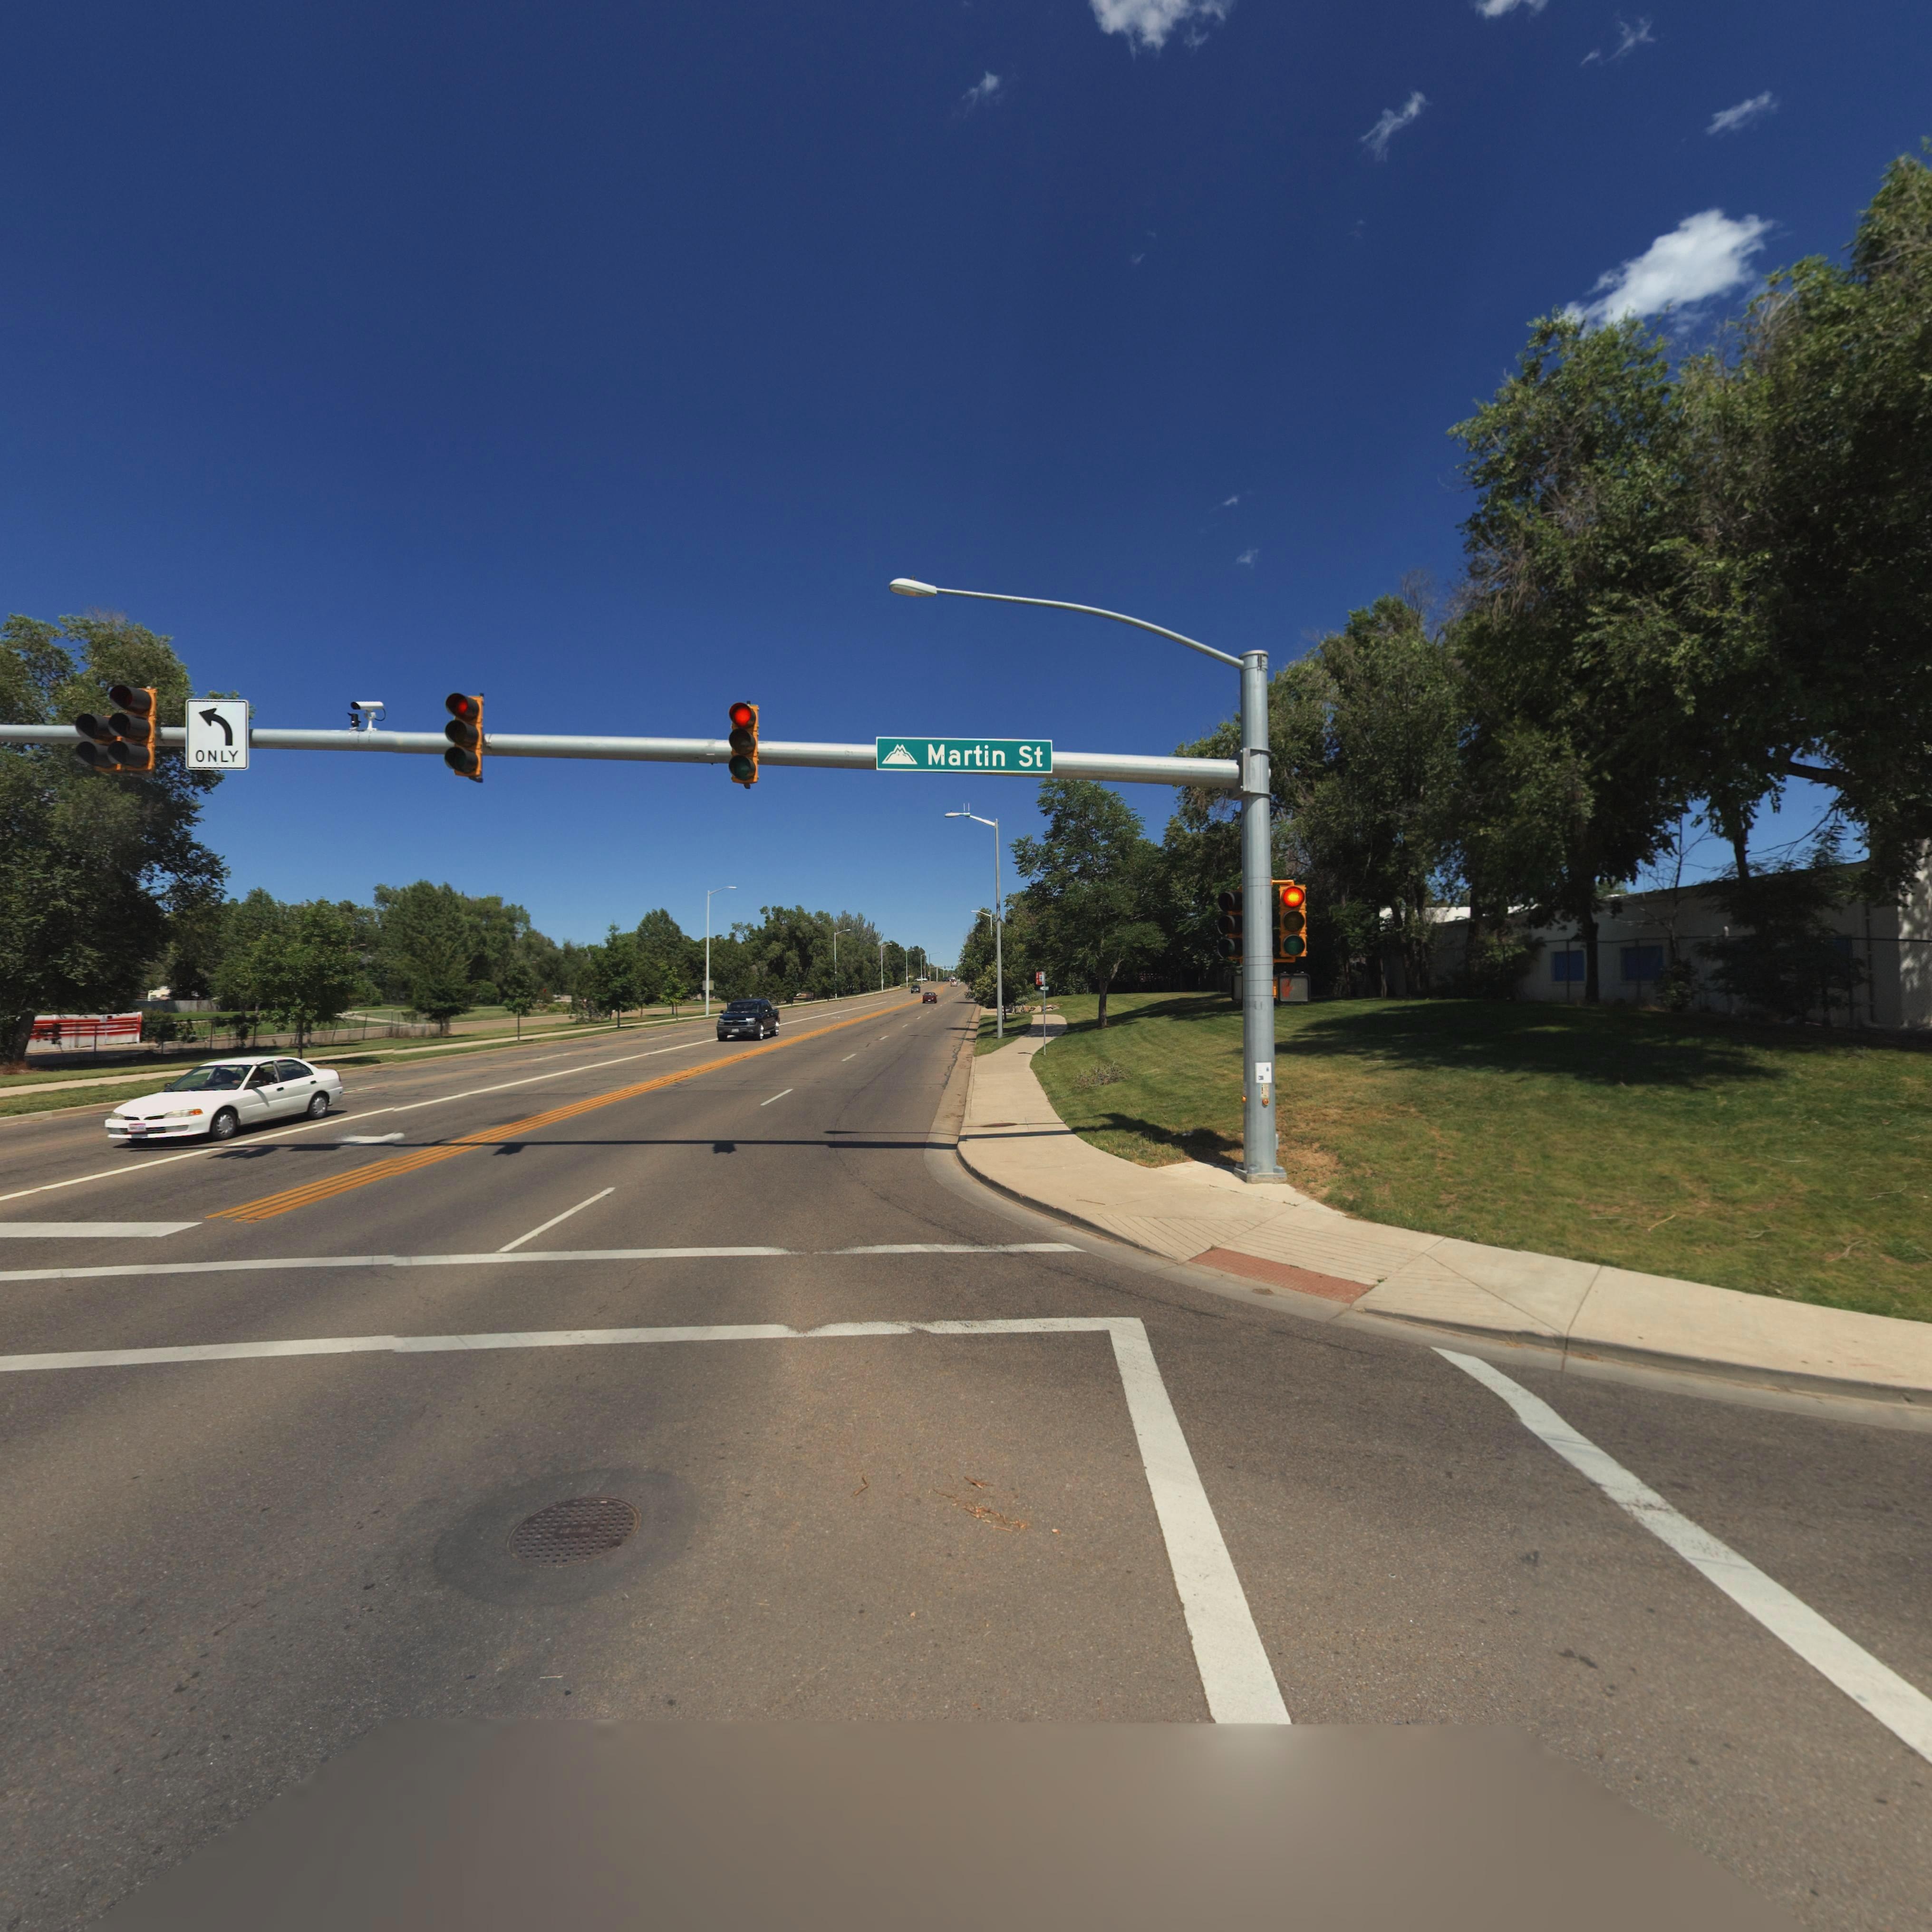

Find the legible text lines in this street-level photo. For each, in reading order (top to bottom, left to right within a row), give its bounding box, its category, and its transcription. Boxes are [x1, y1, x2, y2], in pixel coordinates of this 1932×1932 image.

[927, 743, 1043, 767] StreetName: Martin St